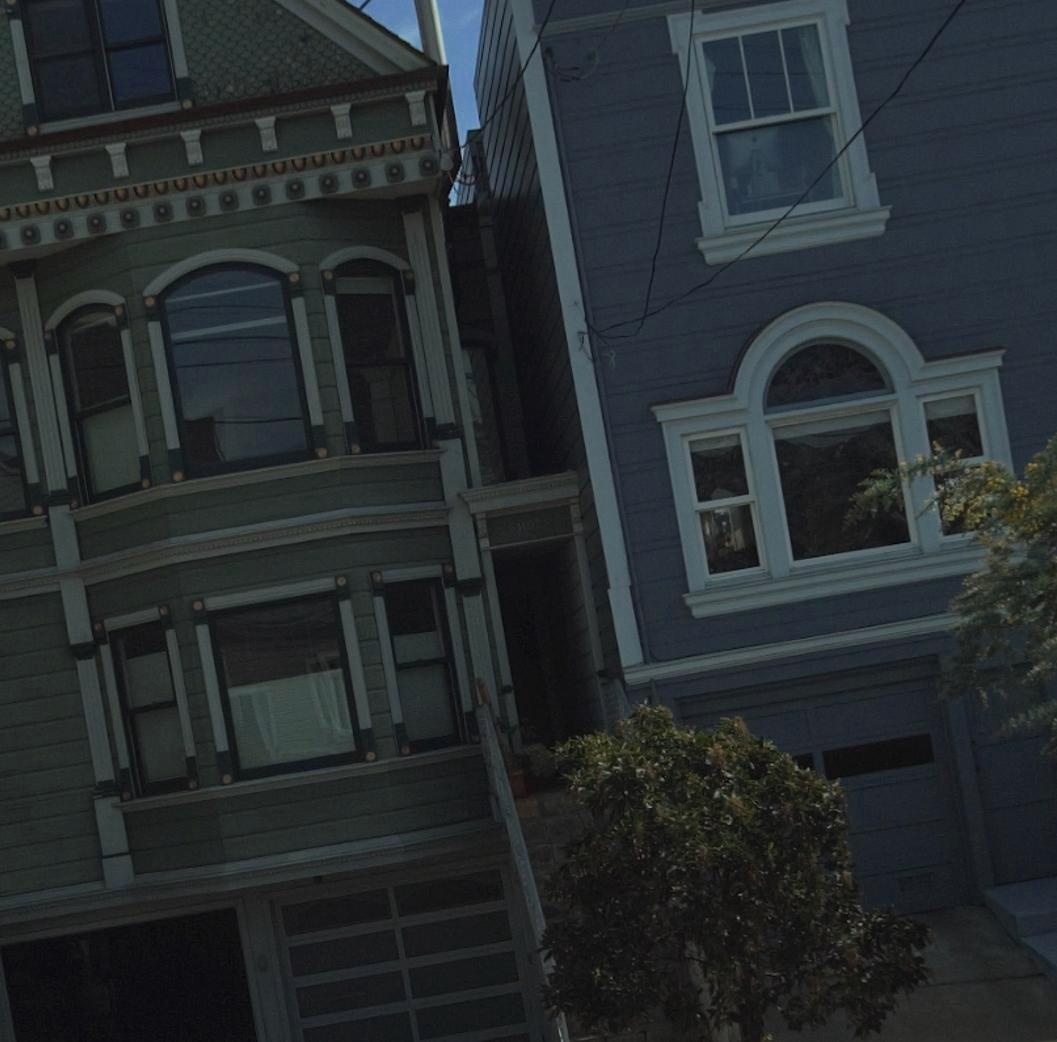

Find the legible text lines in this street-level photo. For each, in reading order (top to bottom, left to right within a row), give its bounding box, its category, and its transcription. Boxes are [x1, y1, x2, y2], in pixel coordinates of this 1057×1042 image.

[515, 517, 542, 535] StreetNumber: 1107